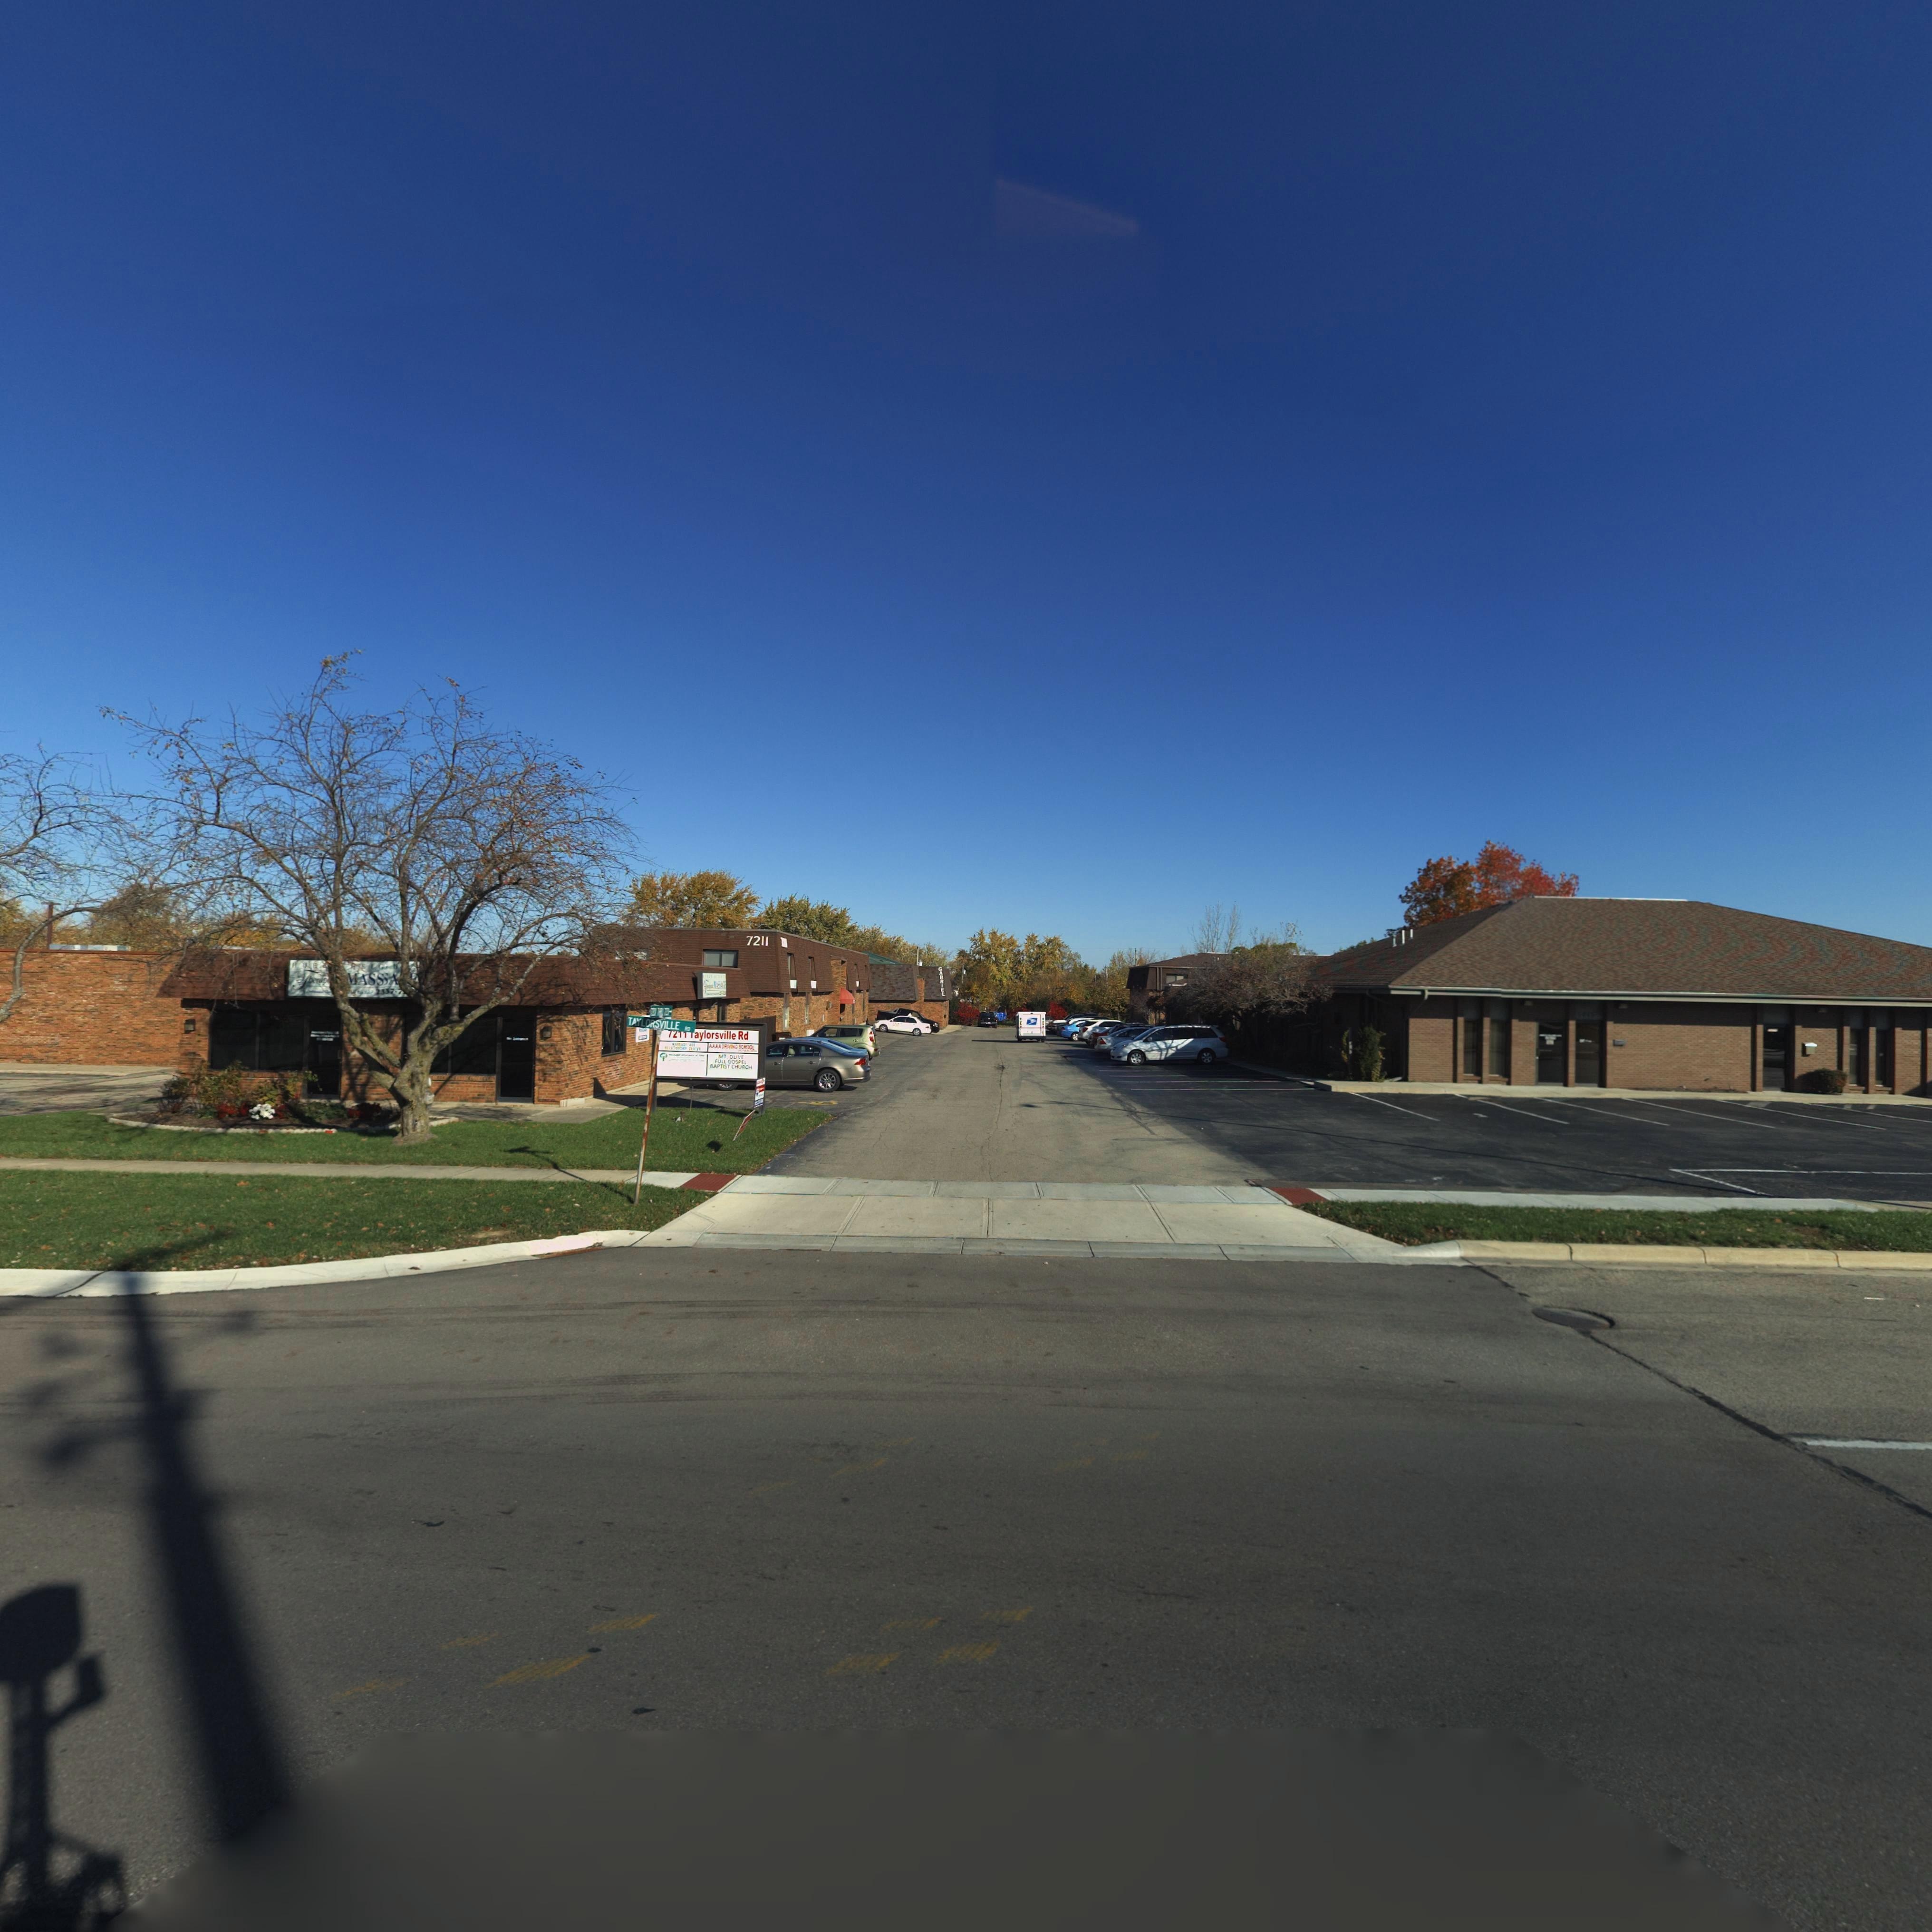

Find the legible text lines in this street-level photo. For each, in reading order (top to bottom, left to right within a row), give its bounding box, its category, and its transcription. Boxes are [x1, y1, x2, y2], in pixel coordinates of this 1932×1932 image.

[745, 935, 770, 947] StreetNumber: 7211
[346, 972, 384, 987] BusinessName: MASS
[628, 1016, 681, 1031] StreetName: TAYLORSVILLE
[694, 1029, 749, 1041] StreetName: aylorsville Rd
[717, 1054, 744, 1060] BusinessName: MT. OLIVE
[715, 1059, 747, 1065] BusinessName: FULL GOSPEL
[709, 1063, 753, 1070] BusinessName: BAPTIST CHURCH